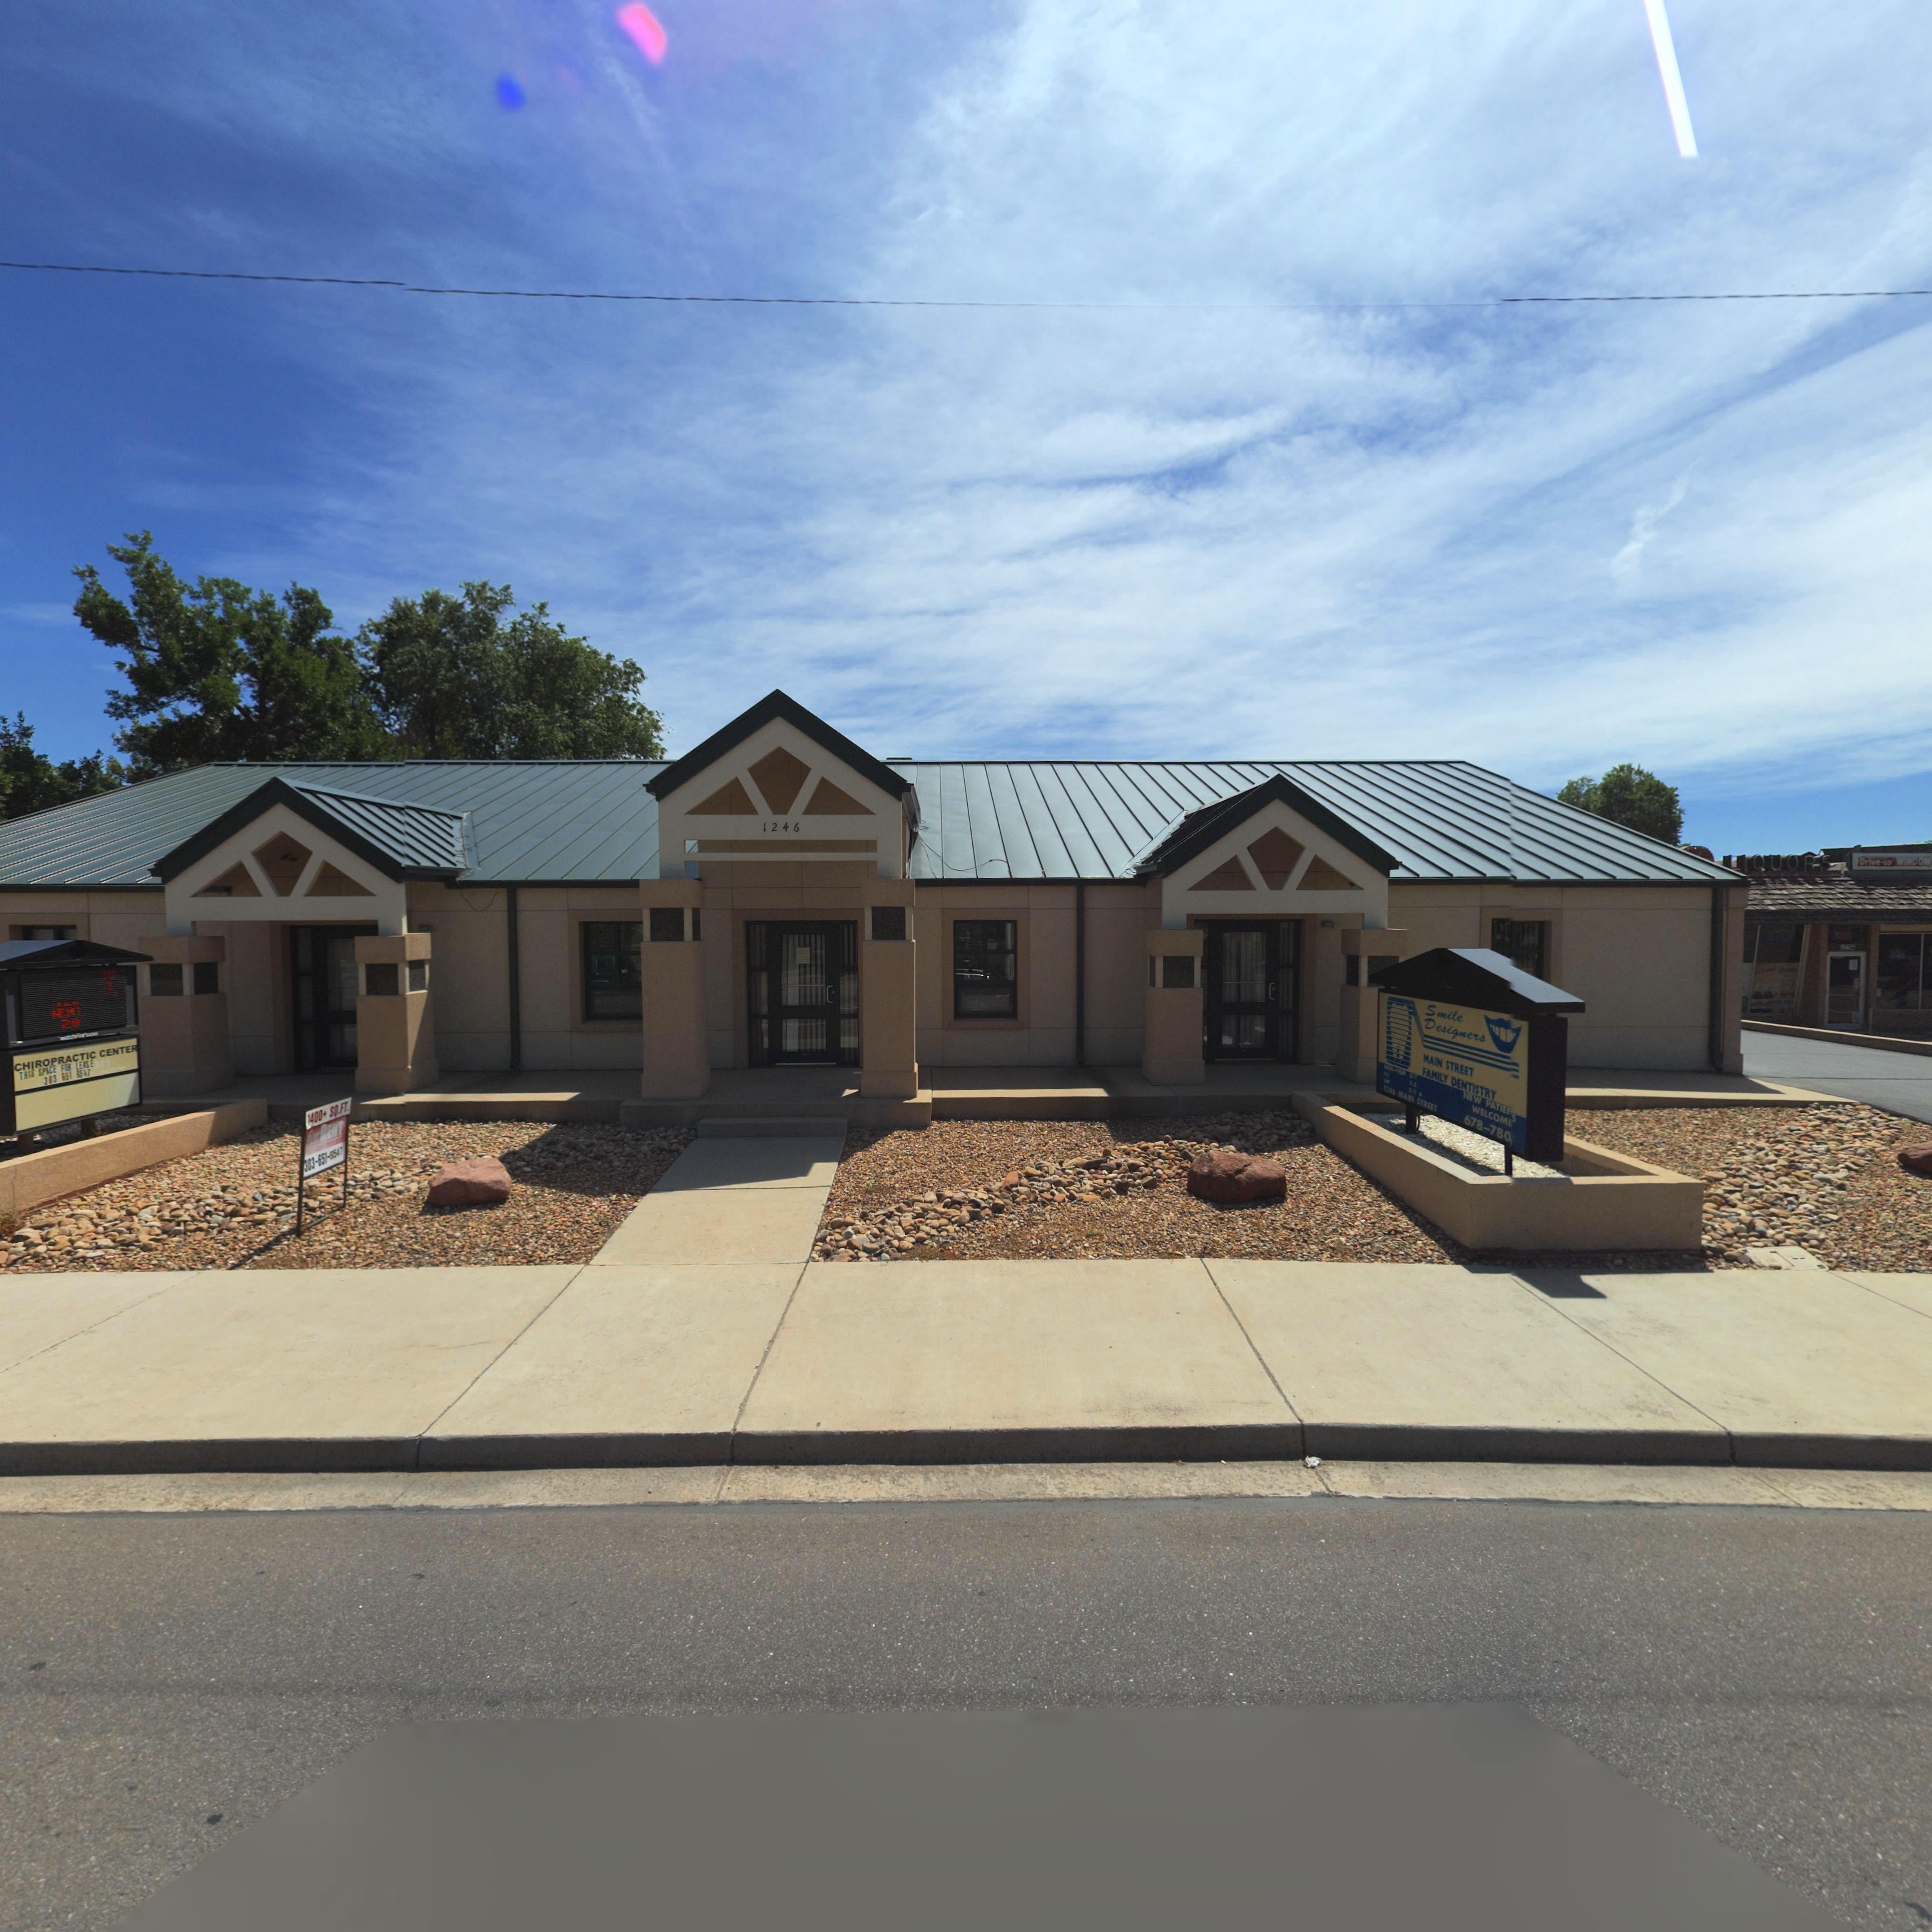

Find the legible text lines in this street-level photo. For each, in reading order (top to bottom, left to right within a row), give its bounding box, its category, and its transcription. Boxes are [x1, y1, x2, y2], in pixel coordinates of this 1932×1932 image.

[762, 822, 799, 832] StreetNumber: 1246
[1726, 854, 1831, 870] BusinessName: *IQUORS
[1840, 944, 1856, 950] StreetNumber: **36
[1425, 1004, 1463, 1023] BusinessName: Smile
[1425, 1017, 1486, 1043] BusinessName: Designers
[1383, 1084, 1396, 1096] StreetNumber: 1246
[1398, 1091, 1437, 1112] StreetName: MAIN STREET